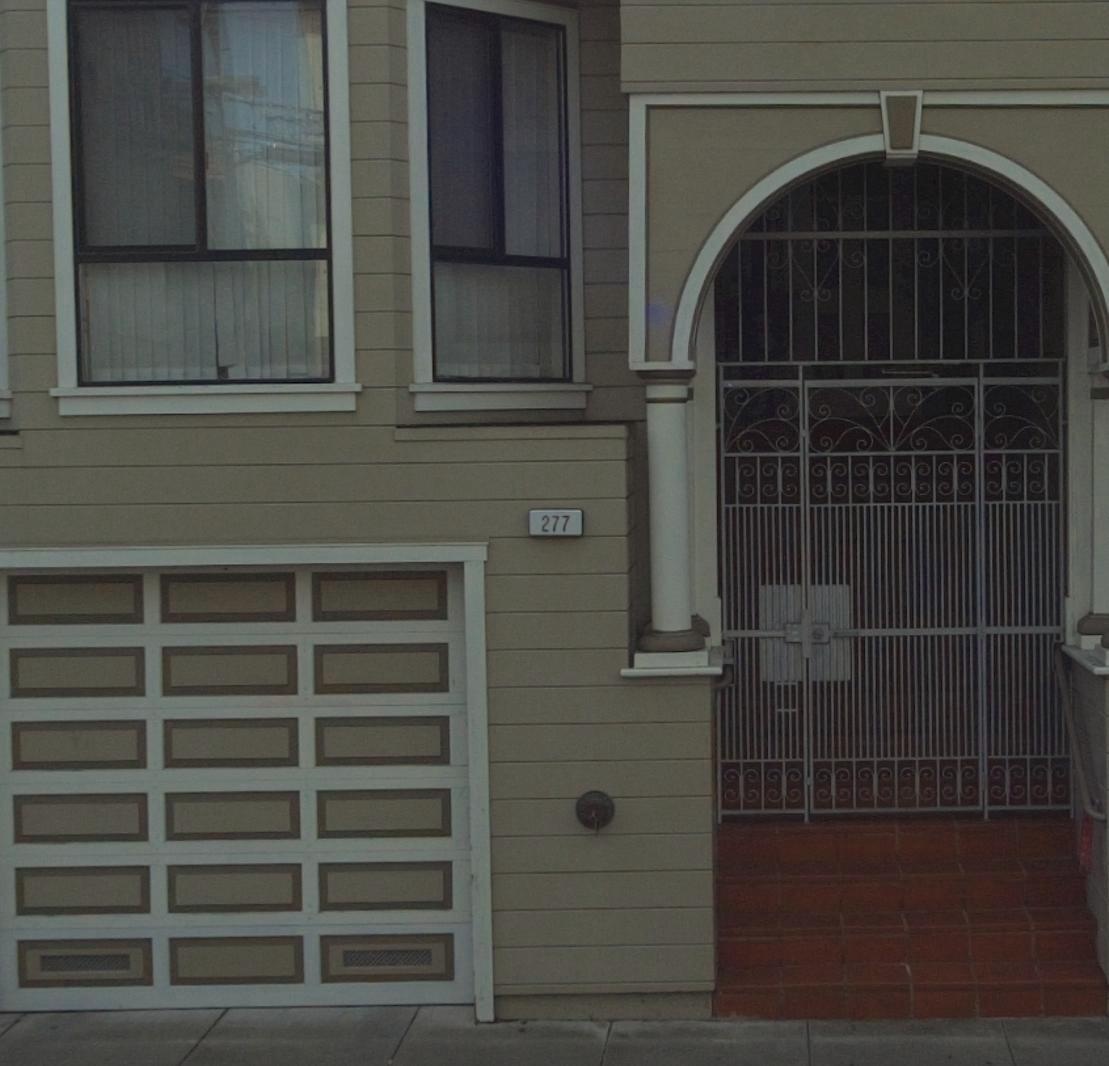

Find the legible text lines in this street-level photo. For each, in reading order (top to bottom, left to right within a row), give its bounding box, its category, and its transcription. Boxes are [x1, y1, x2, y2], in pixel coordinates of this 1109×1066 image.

[540, 514, 571, 534] StreetNumber: 277